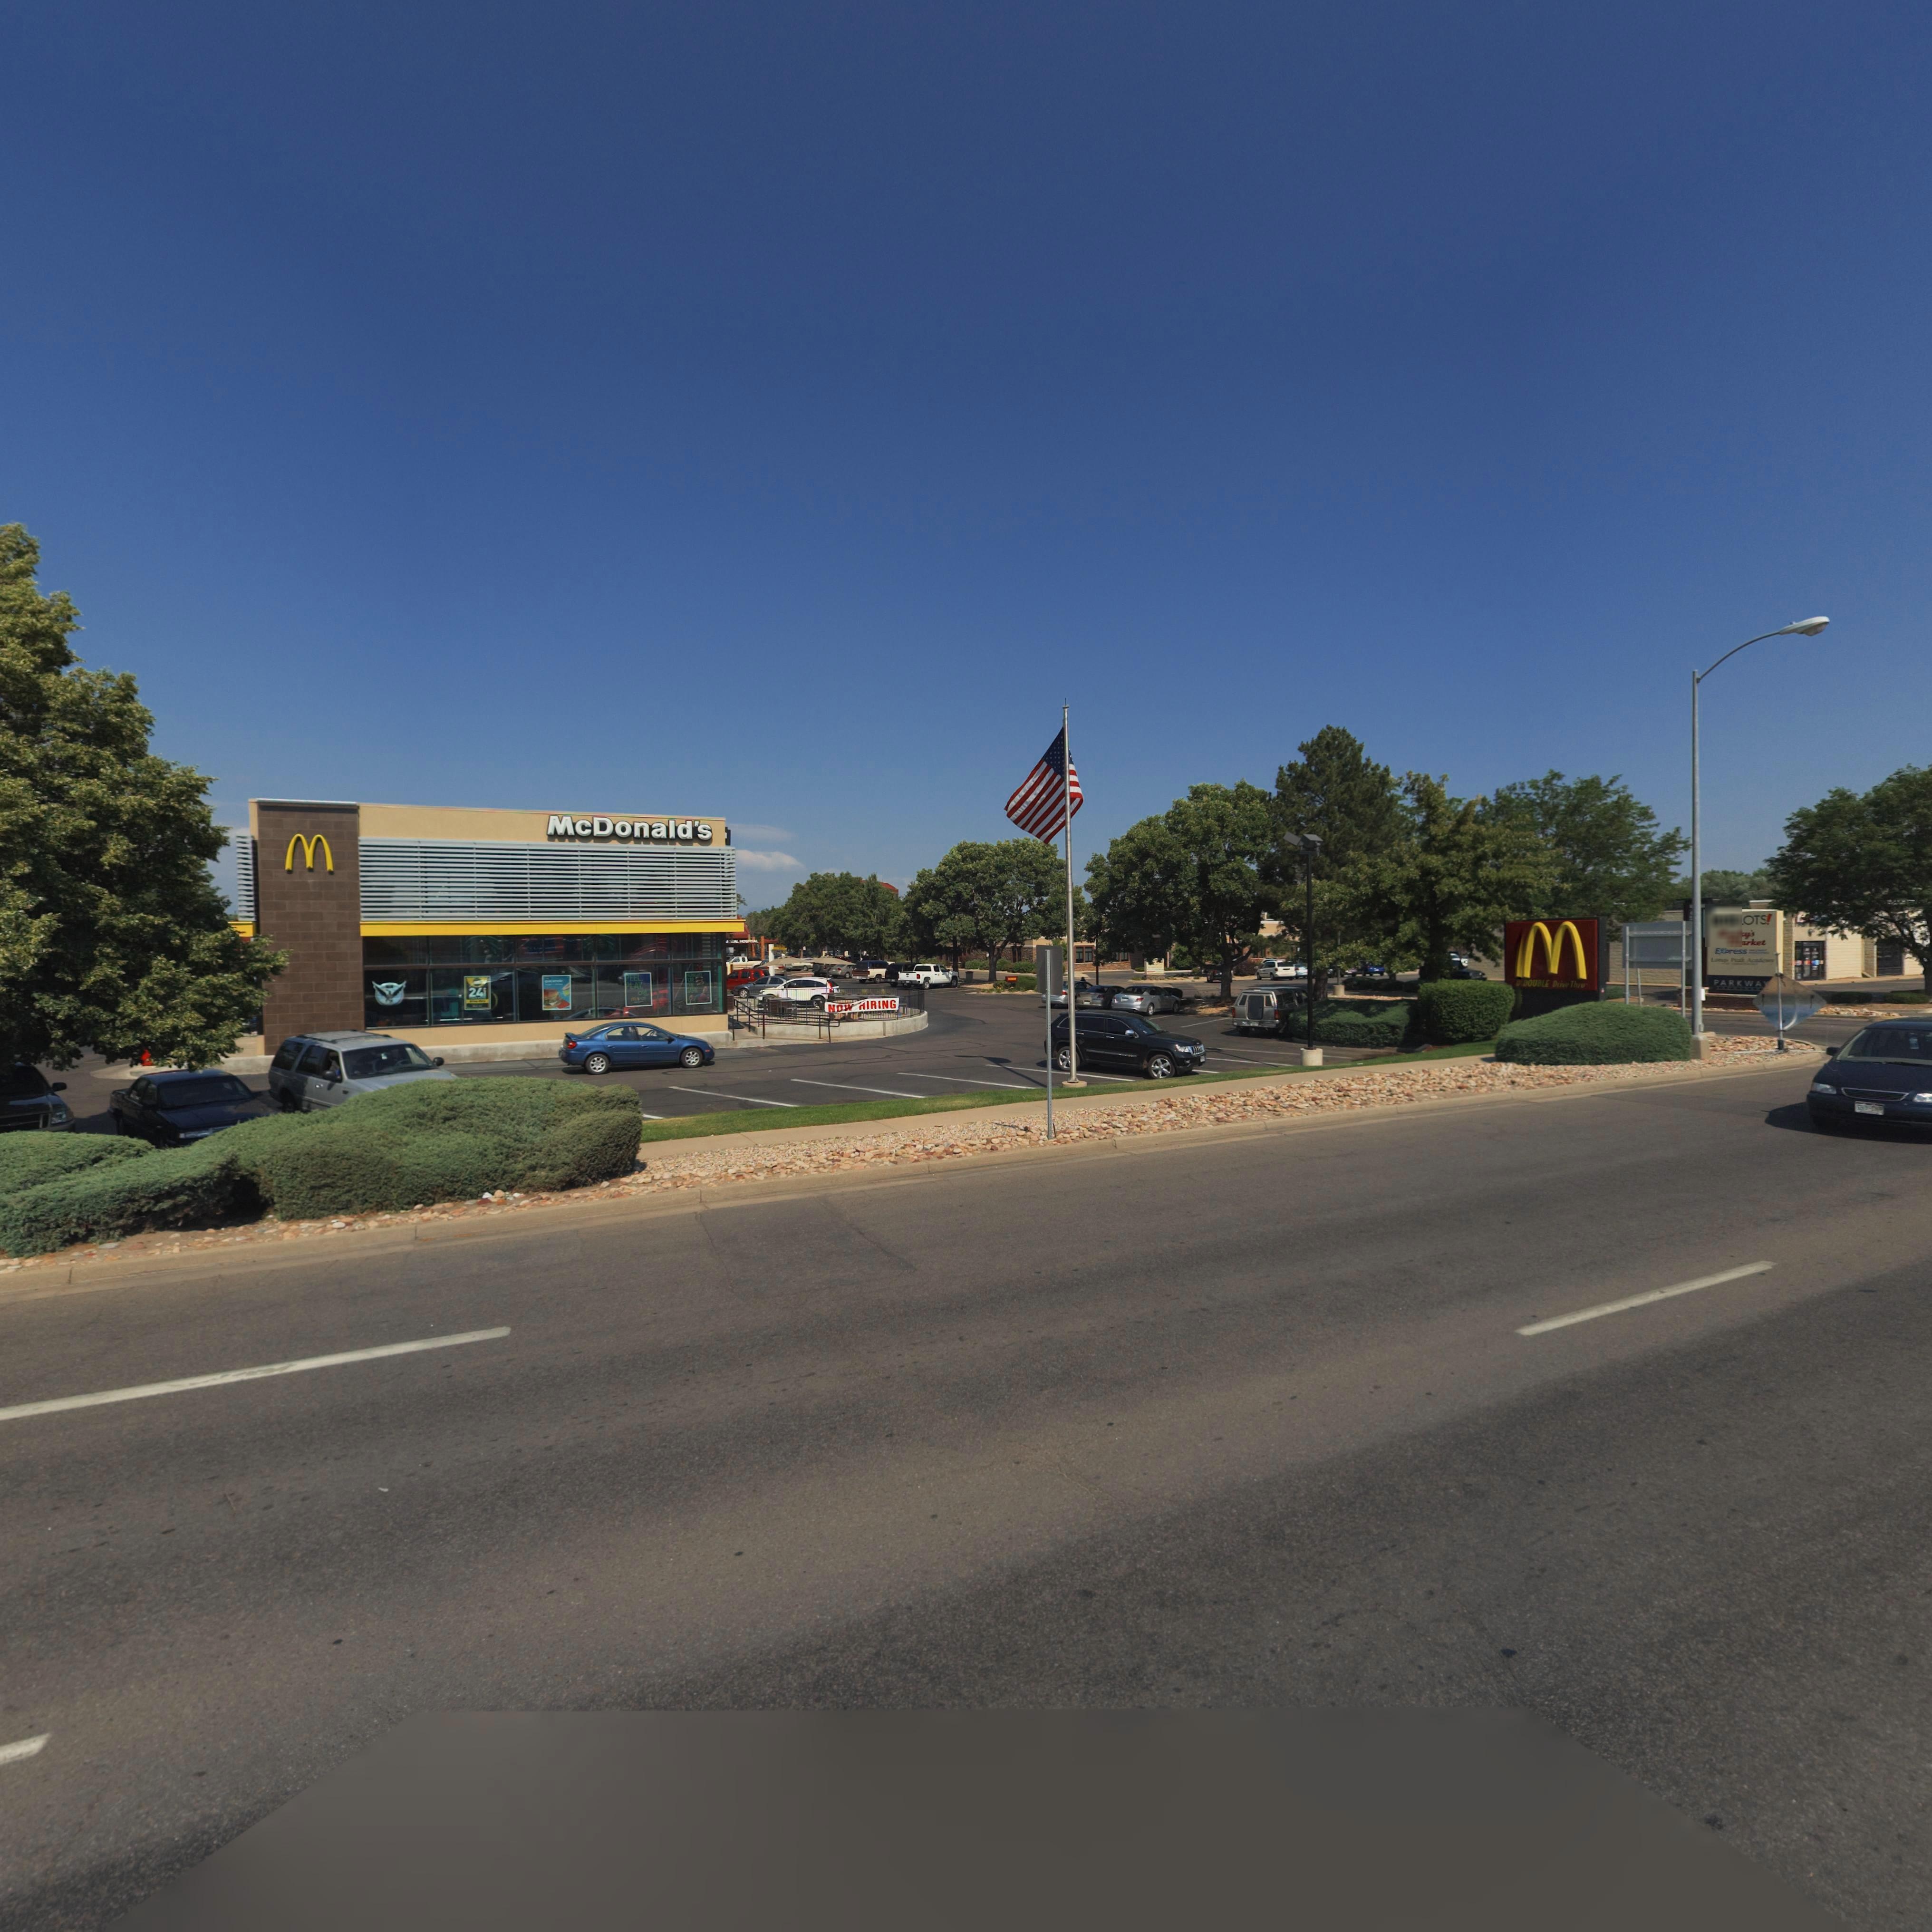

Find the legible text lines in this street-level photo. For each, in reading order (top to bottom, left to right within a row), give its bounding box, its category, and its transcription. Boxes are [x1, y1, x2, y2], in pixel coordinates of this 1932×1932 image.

[546, 815, 713, 840] BusinessName: McDonald's
[1712, 912, 1773, 926] BusinessName: BIGLOTS!
[1717, 929, 1756, 939] BusinessName: Lucky's
[739, 939, 759, 943] BusinessName: HOSPITAL
[1727, 937, 1766, 946] BusinessName: Market
[1714, 947, 1748, 955] BusinessName: EXpress